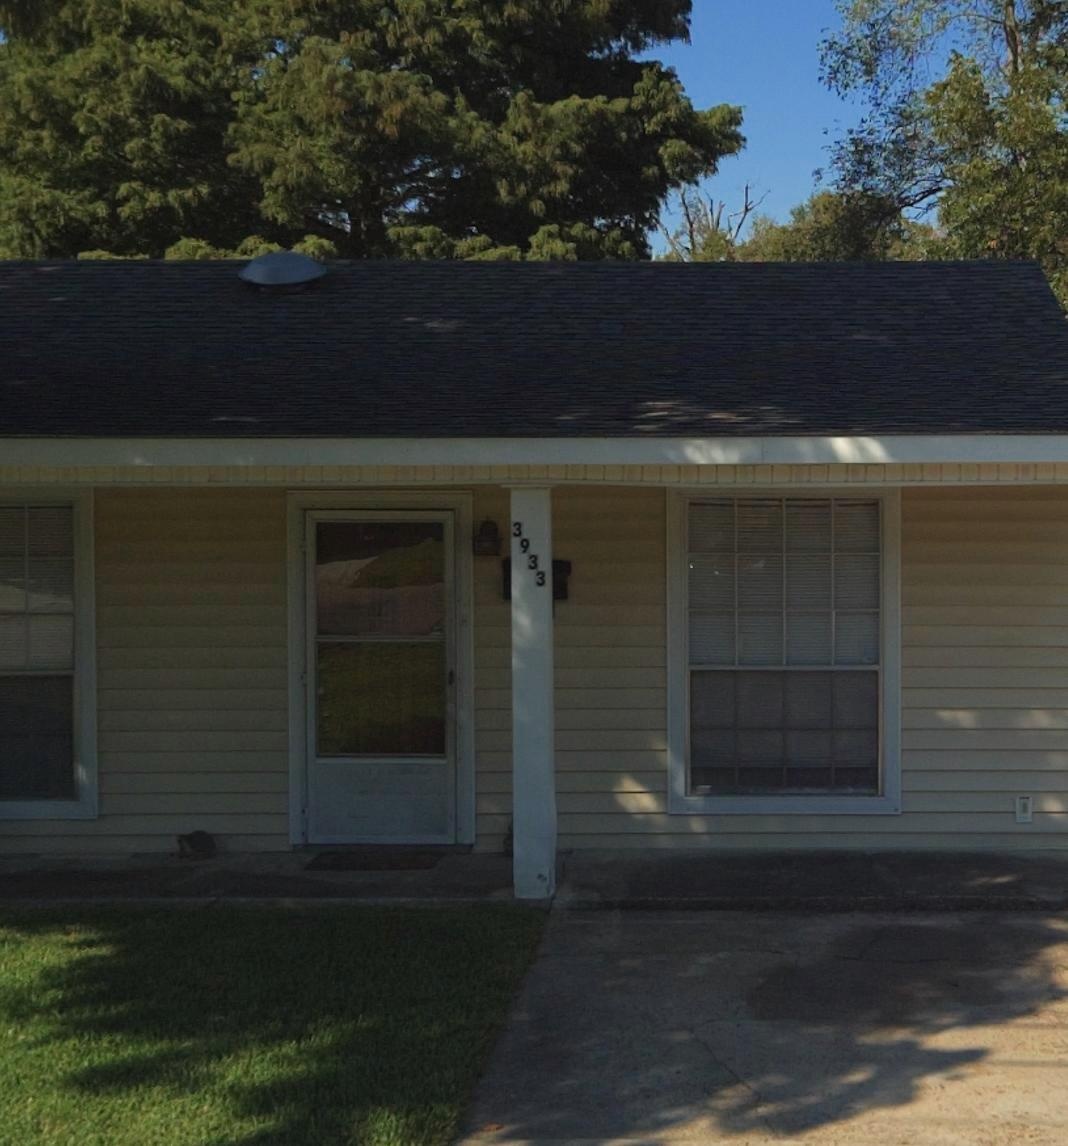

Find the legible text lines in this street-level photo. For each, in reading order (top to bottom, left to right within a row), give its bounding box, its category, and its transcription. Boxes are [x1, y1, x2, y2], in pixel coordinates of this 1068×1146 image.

[511, 521, 546, 587] StreetNumber: 3933